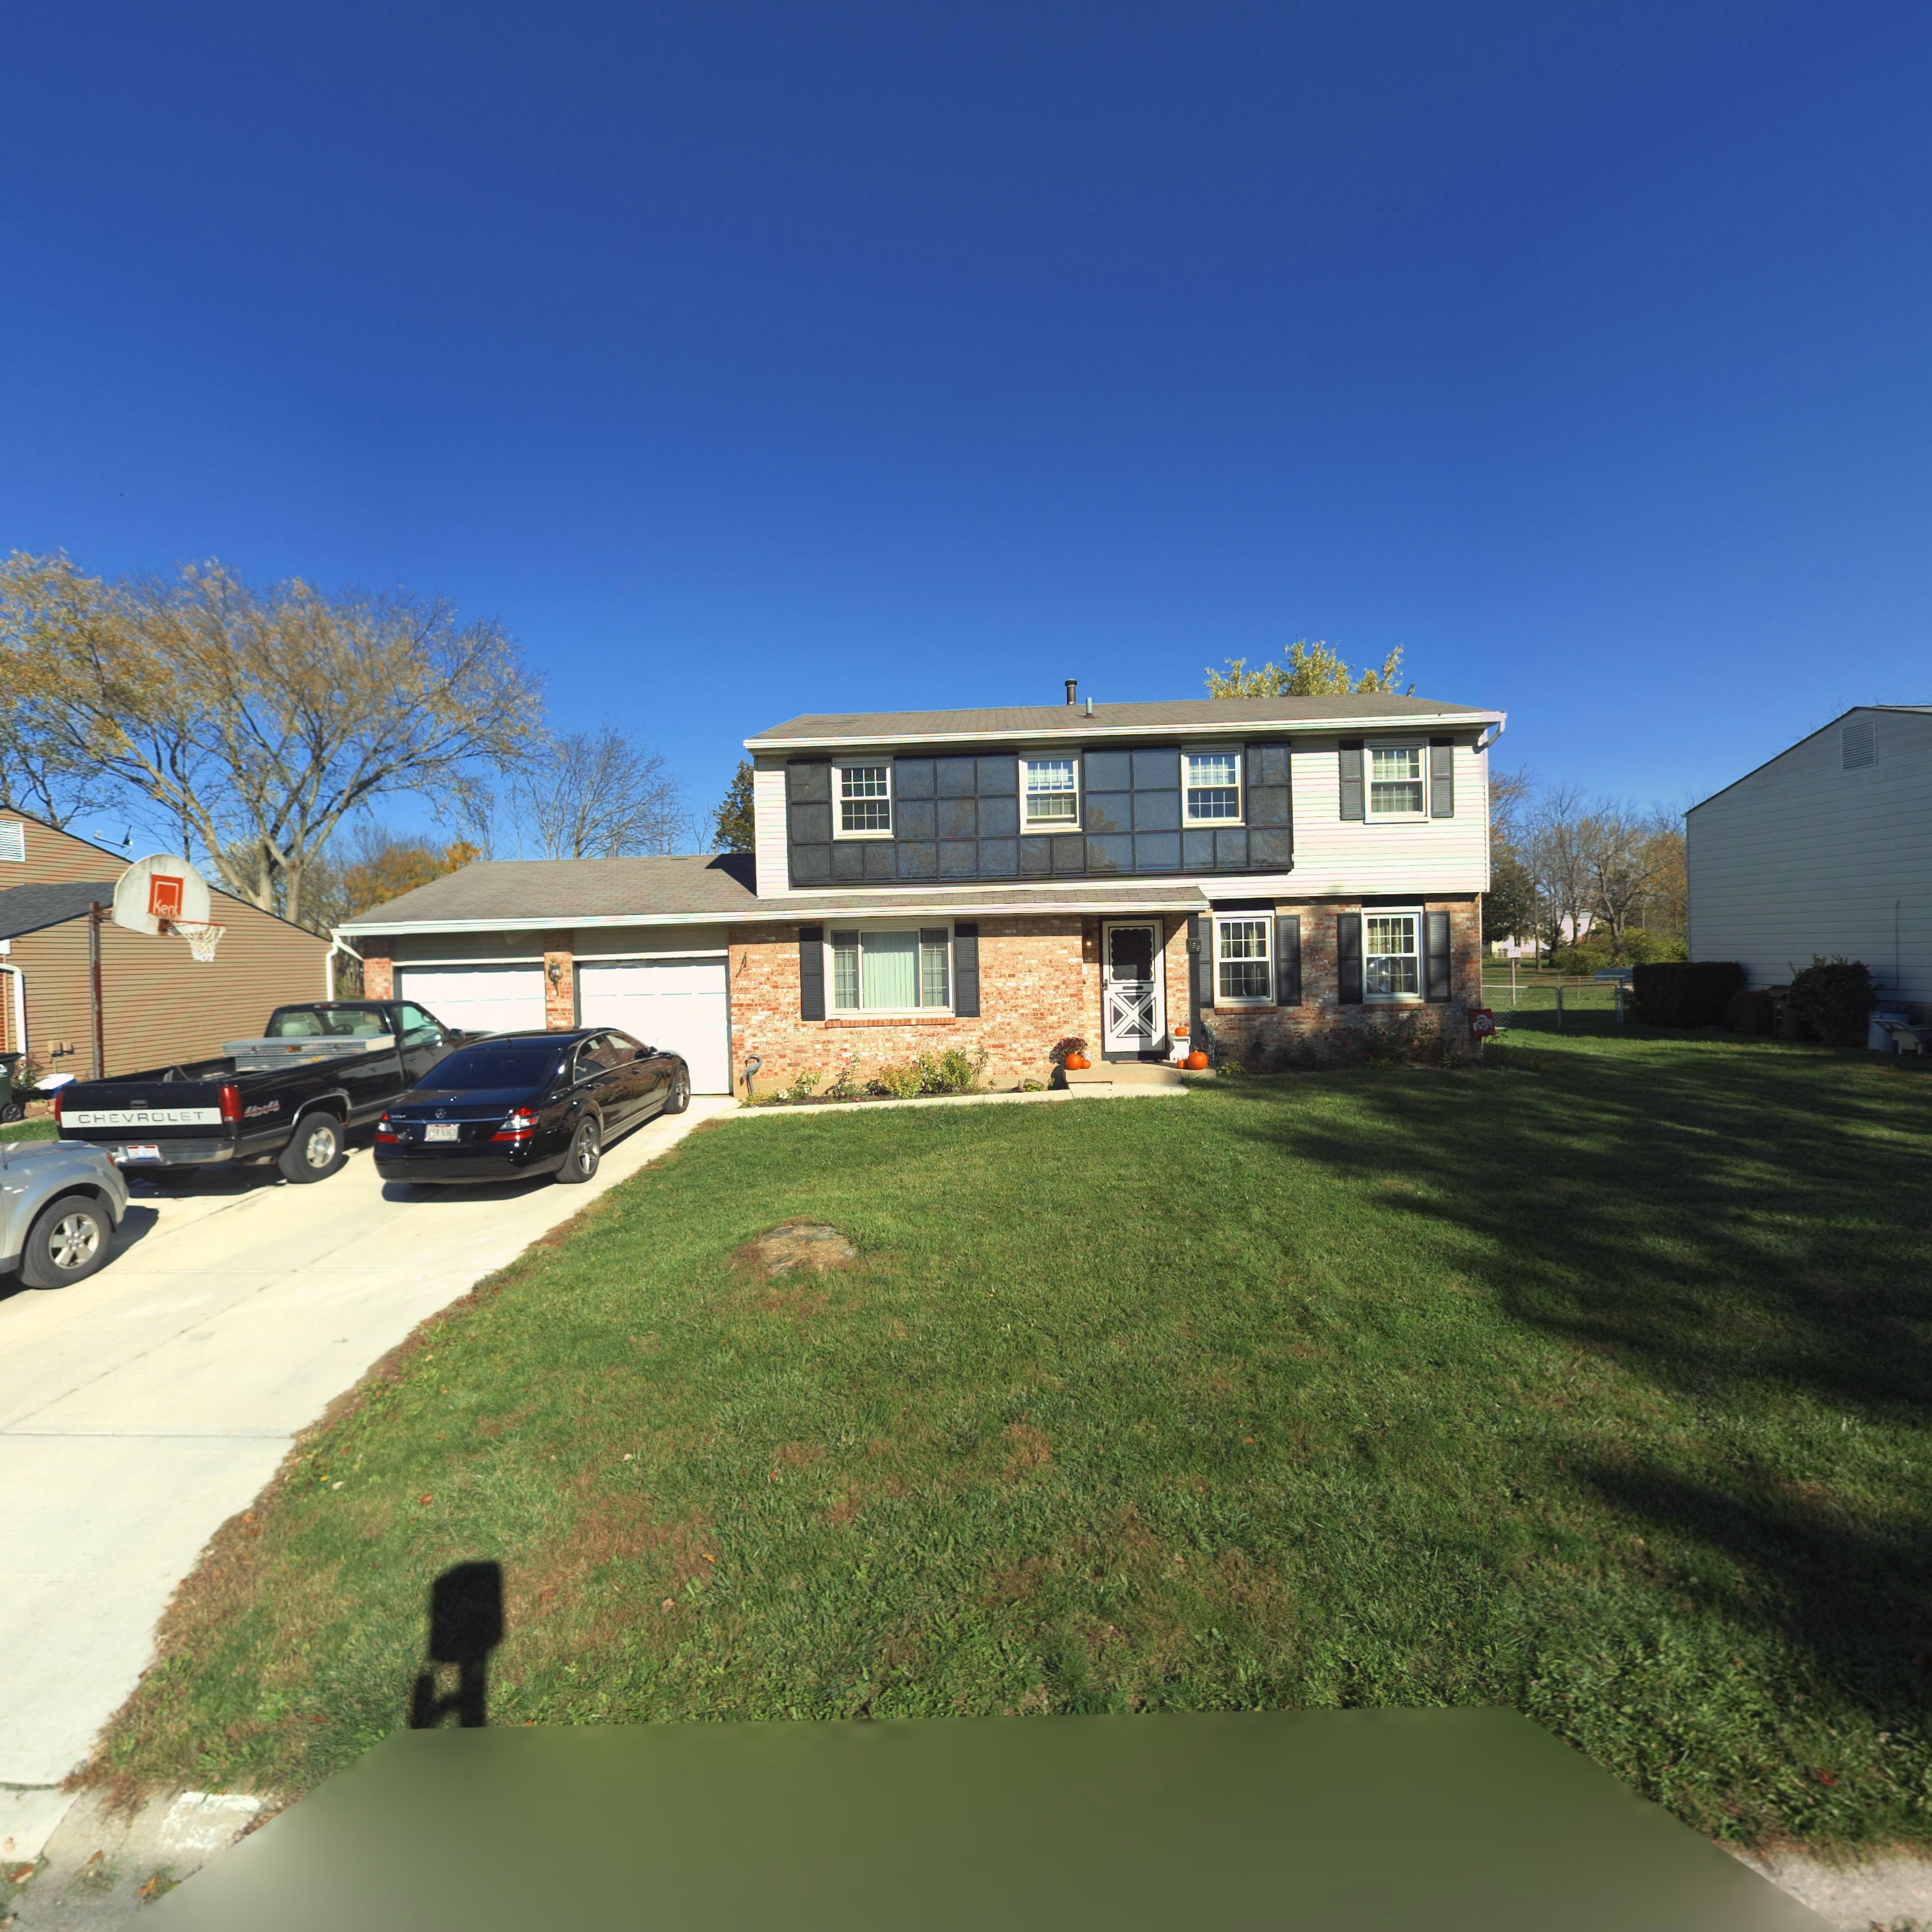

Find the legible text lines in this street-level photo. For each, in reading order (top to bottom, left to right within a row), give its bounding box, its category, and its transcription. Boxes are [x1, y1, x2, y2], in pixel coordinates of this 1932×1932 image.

[1188, 939, 1201, 953] StreetNumber: 1*6